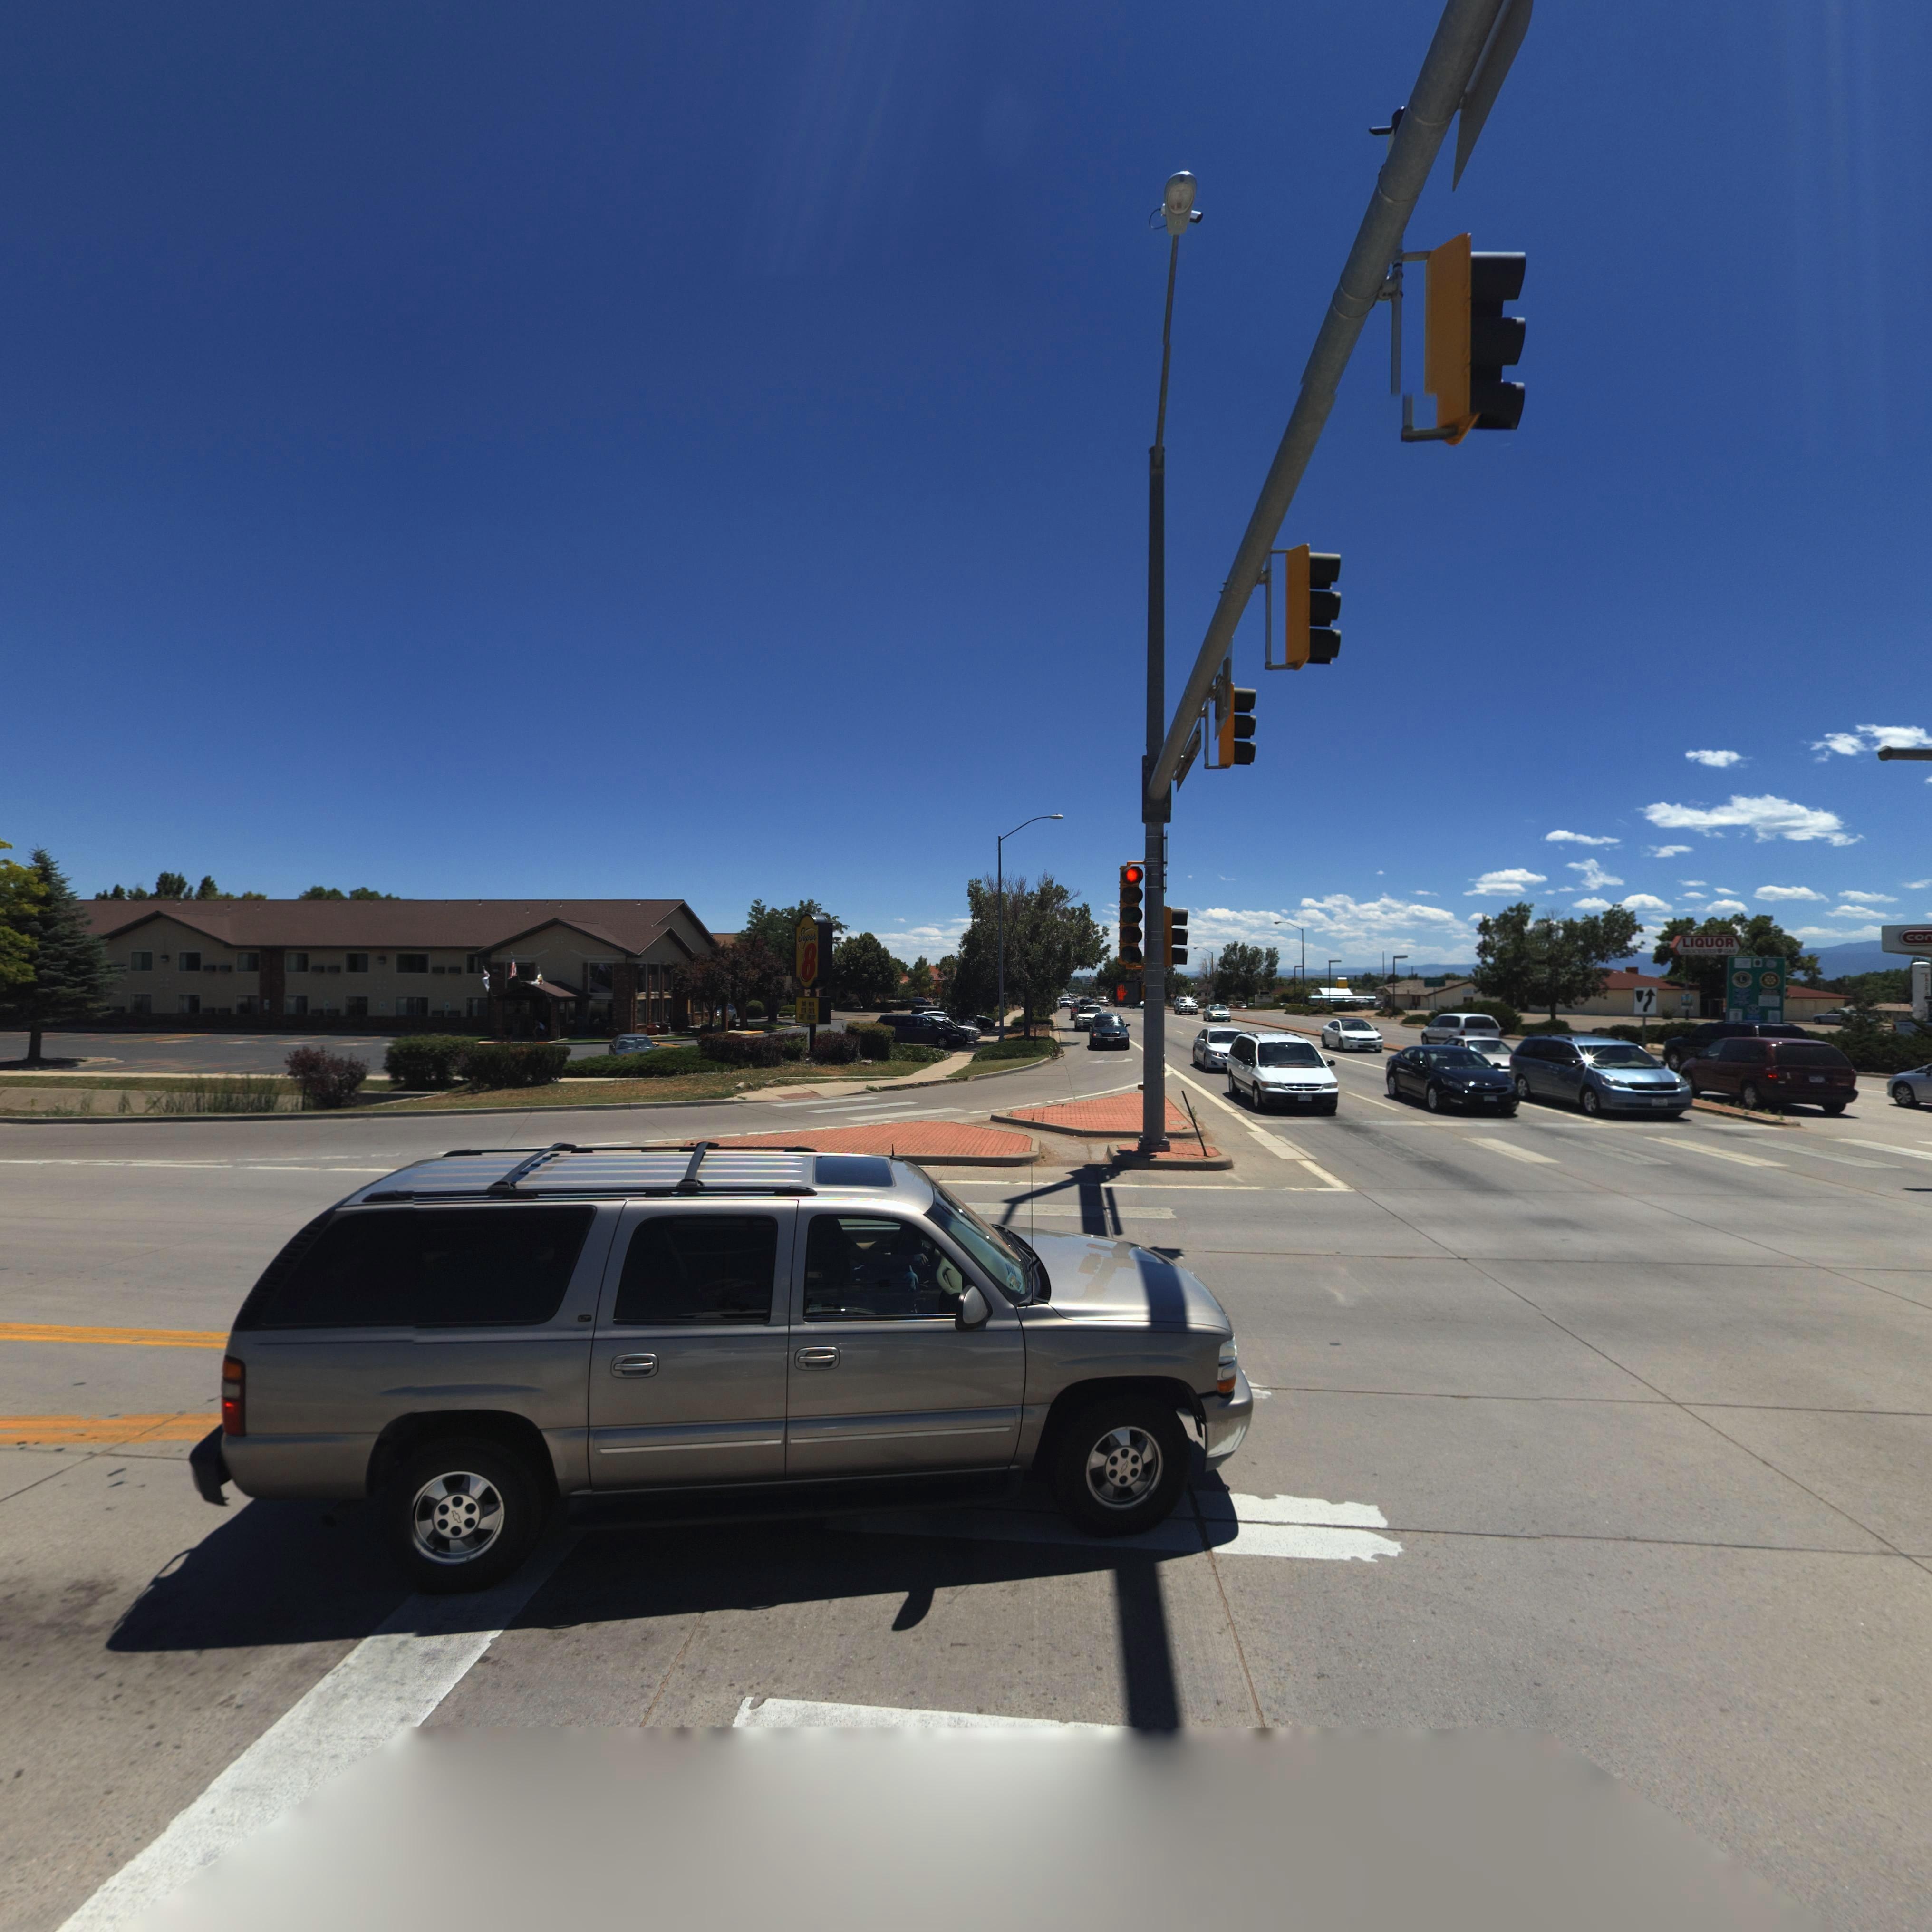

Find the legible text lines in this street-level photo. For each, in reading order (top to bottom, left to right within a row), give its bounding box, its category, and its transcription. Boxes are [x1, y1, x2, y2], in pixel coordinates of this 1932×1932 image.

[797, 926, 817, 949] BusinessName: Super
[1906, 934, 1931, 941] BusinessName: co*
[800, 942, 817, 982] BusinessName: 8